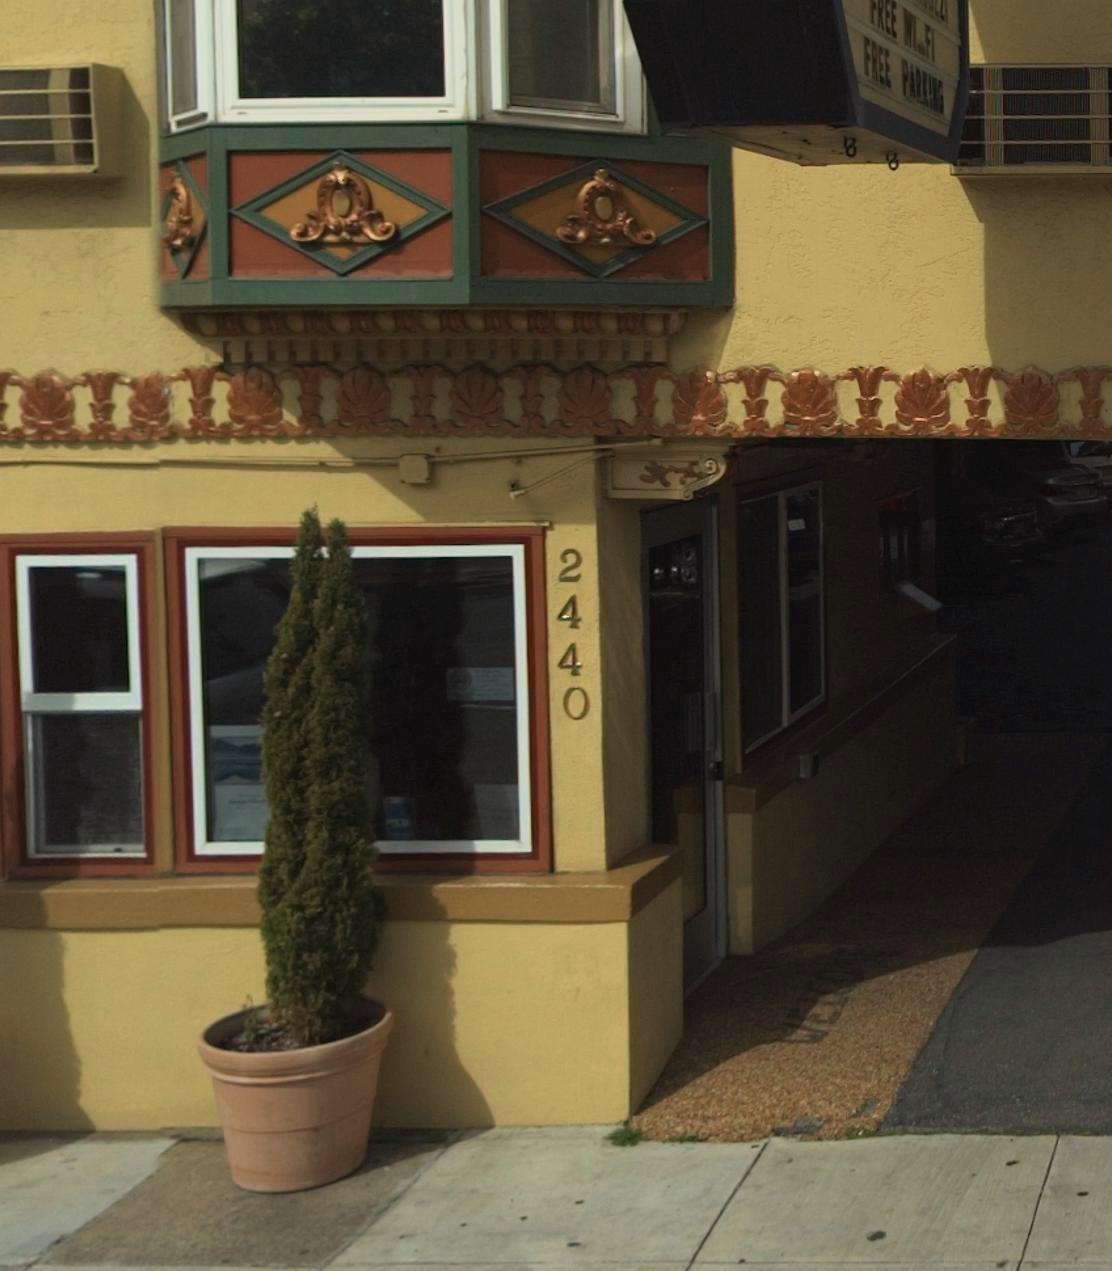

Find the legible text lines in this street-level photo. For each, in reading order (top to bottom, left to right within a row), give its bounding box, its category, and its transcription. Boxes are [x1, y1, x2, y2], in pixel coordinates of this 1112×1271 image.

[869, 0, 938, 66] None: **EE WI.FI
[861, 33, 946, 117] None: FREE PARKING
[555, 547, 592, 722] StreetNumber: 2440
[766, 944, 891, 1048] None: WELCOME